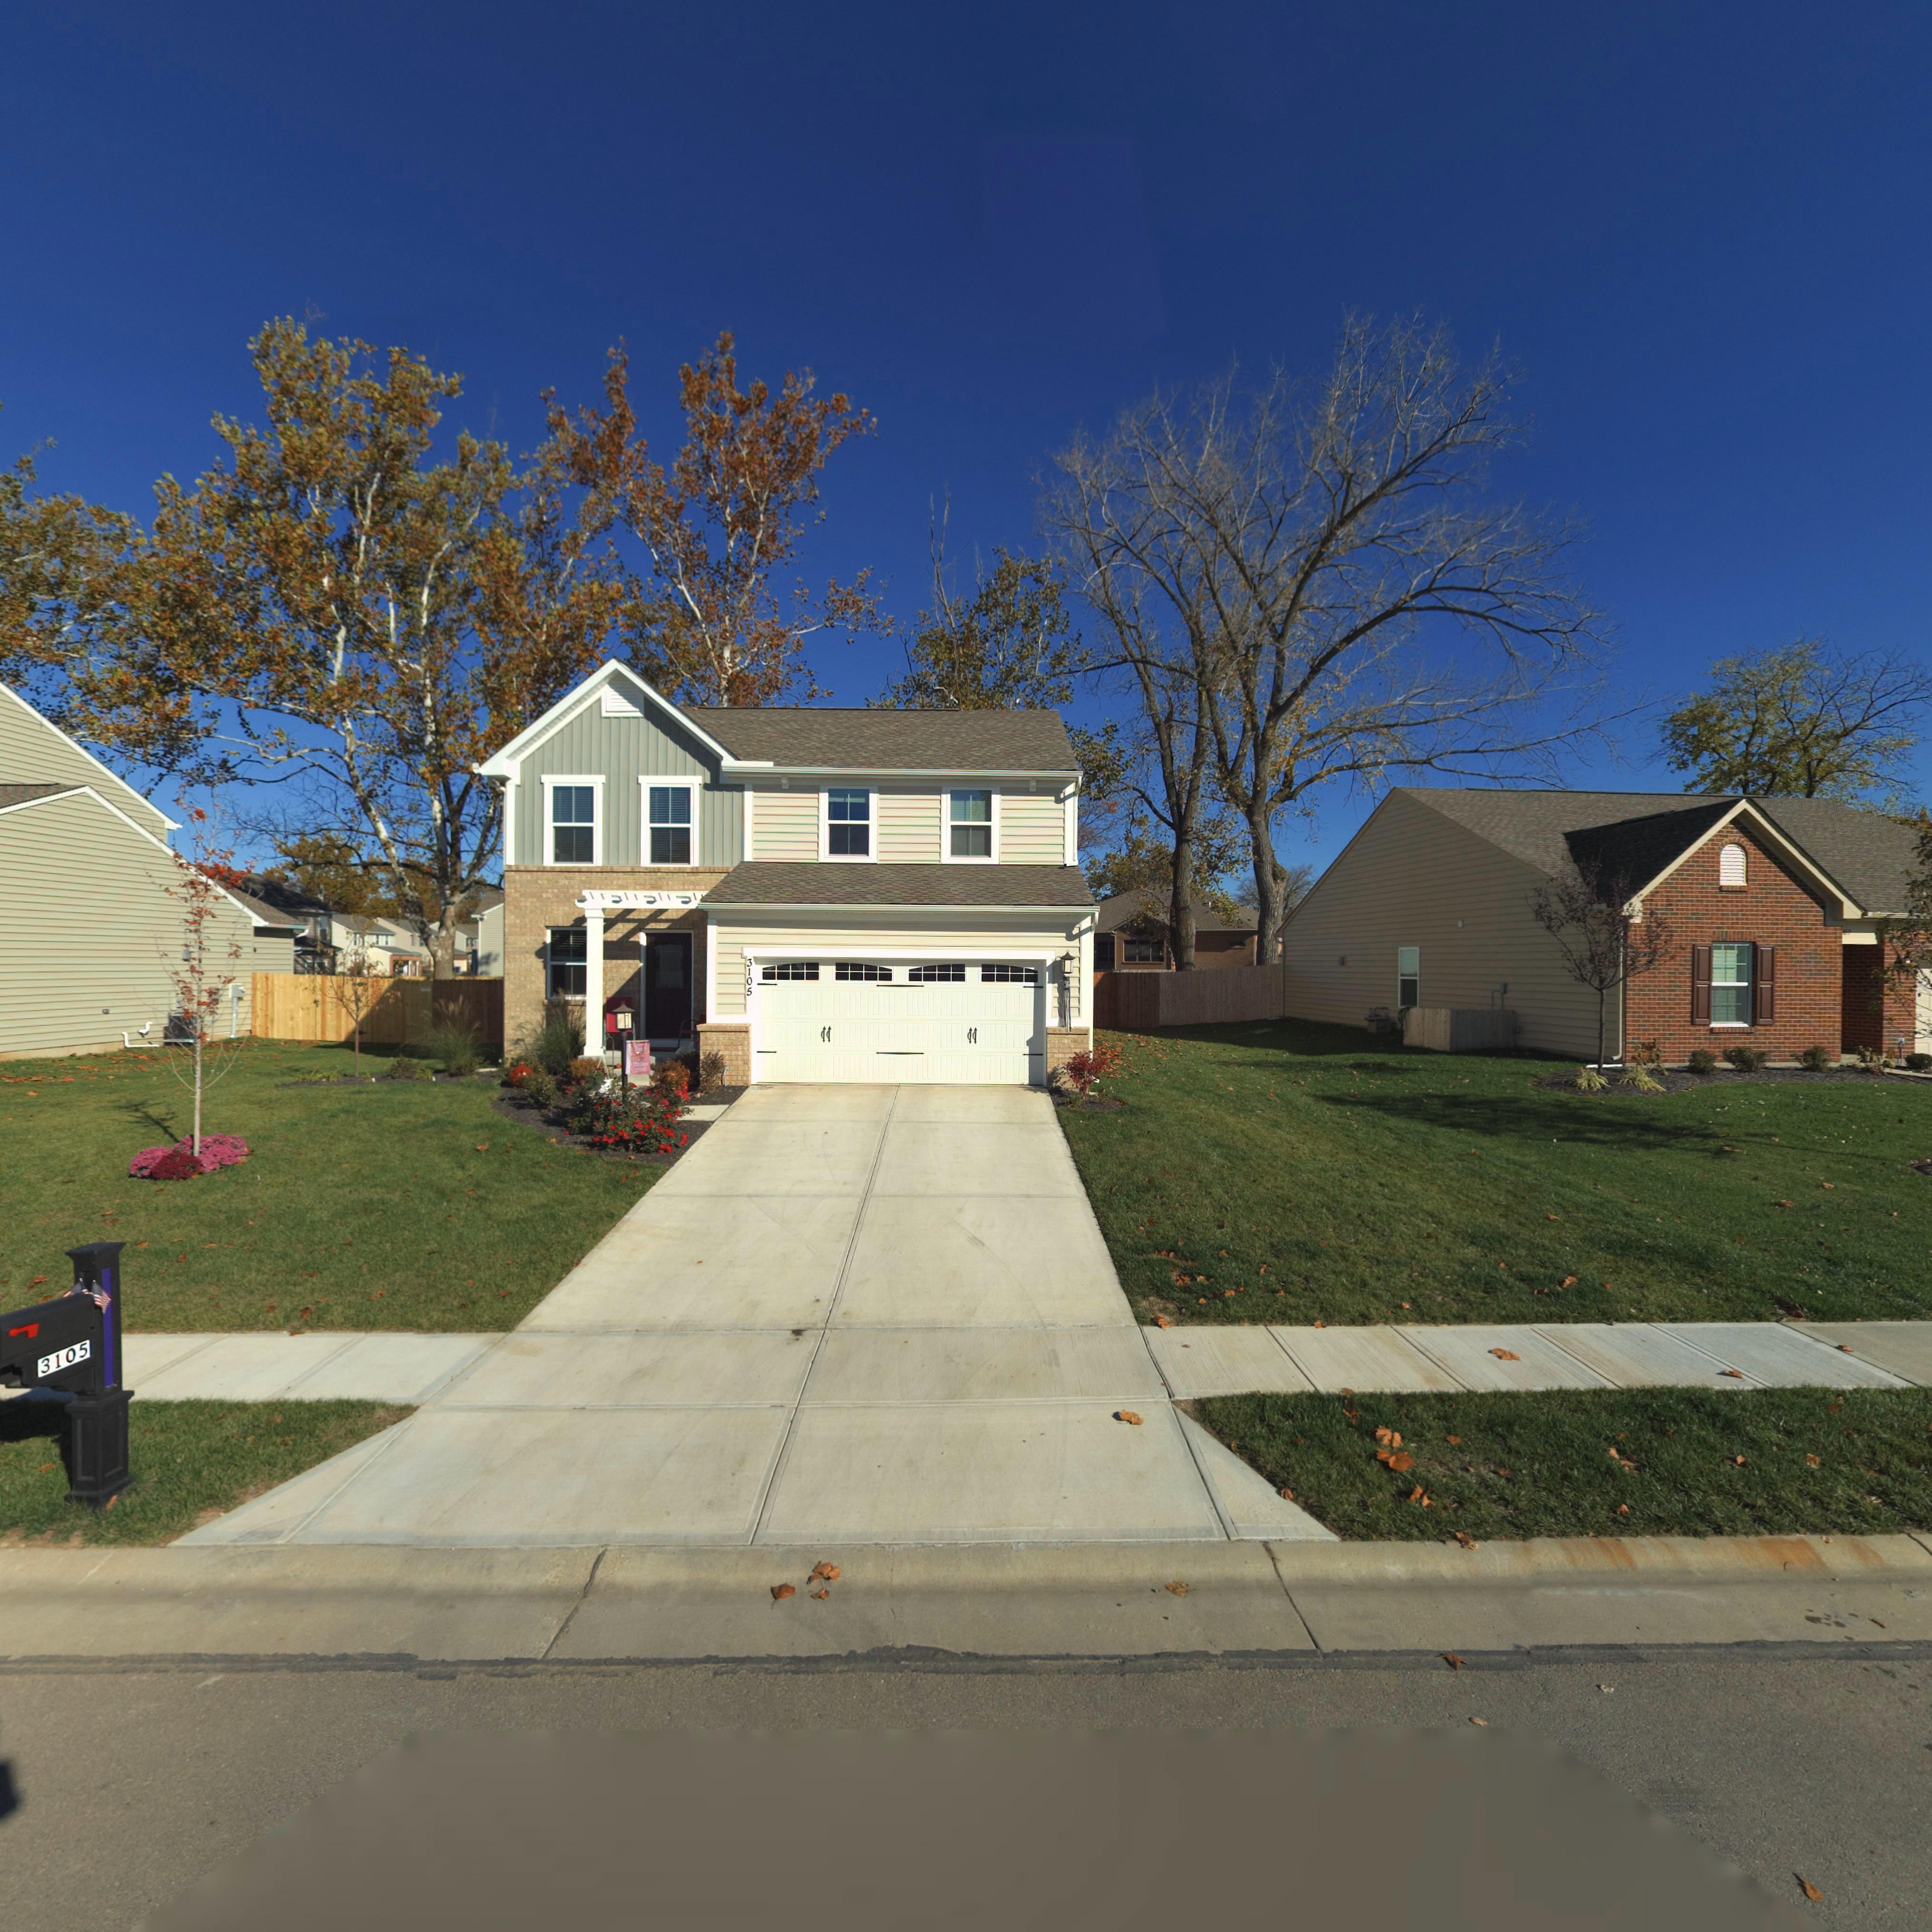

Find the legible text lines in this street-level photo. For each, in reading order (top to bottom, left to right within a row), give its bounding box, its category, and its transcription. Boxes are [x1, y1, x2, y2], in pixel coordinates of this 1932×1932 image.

[746, 958, 753, 996] StreetNumber: 3105
[40, 1341, 88, 1375] StreetNumber: 3105